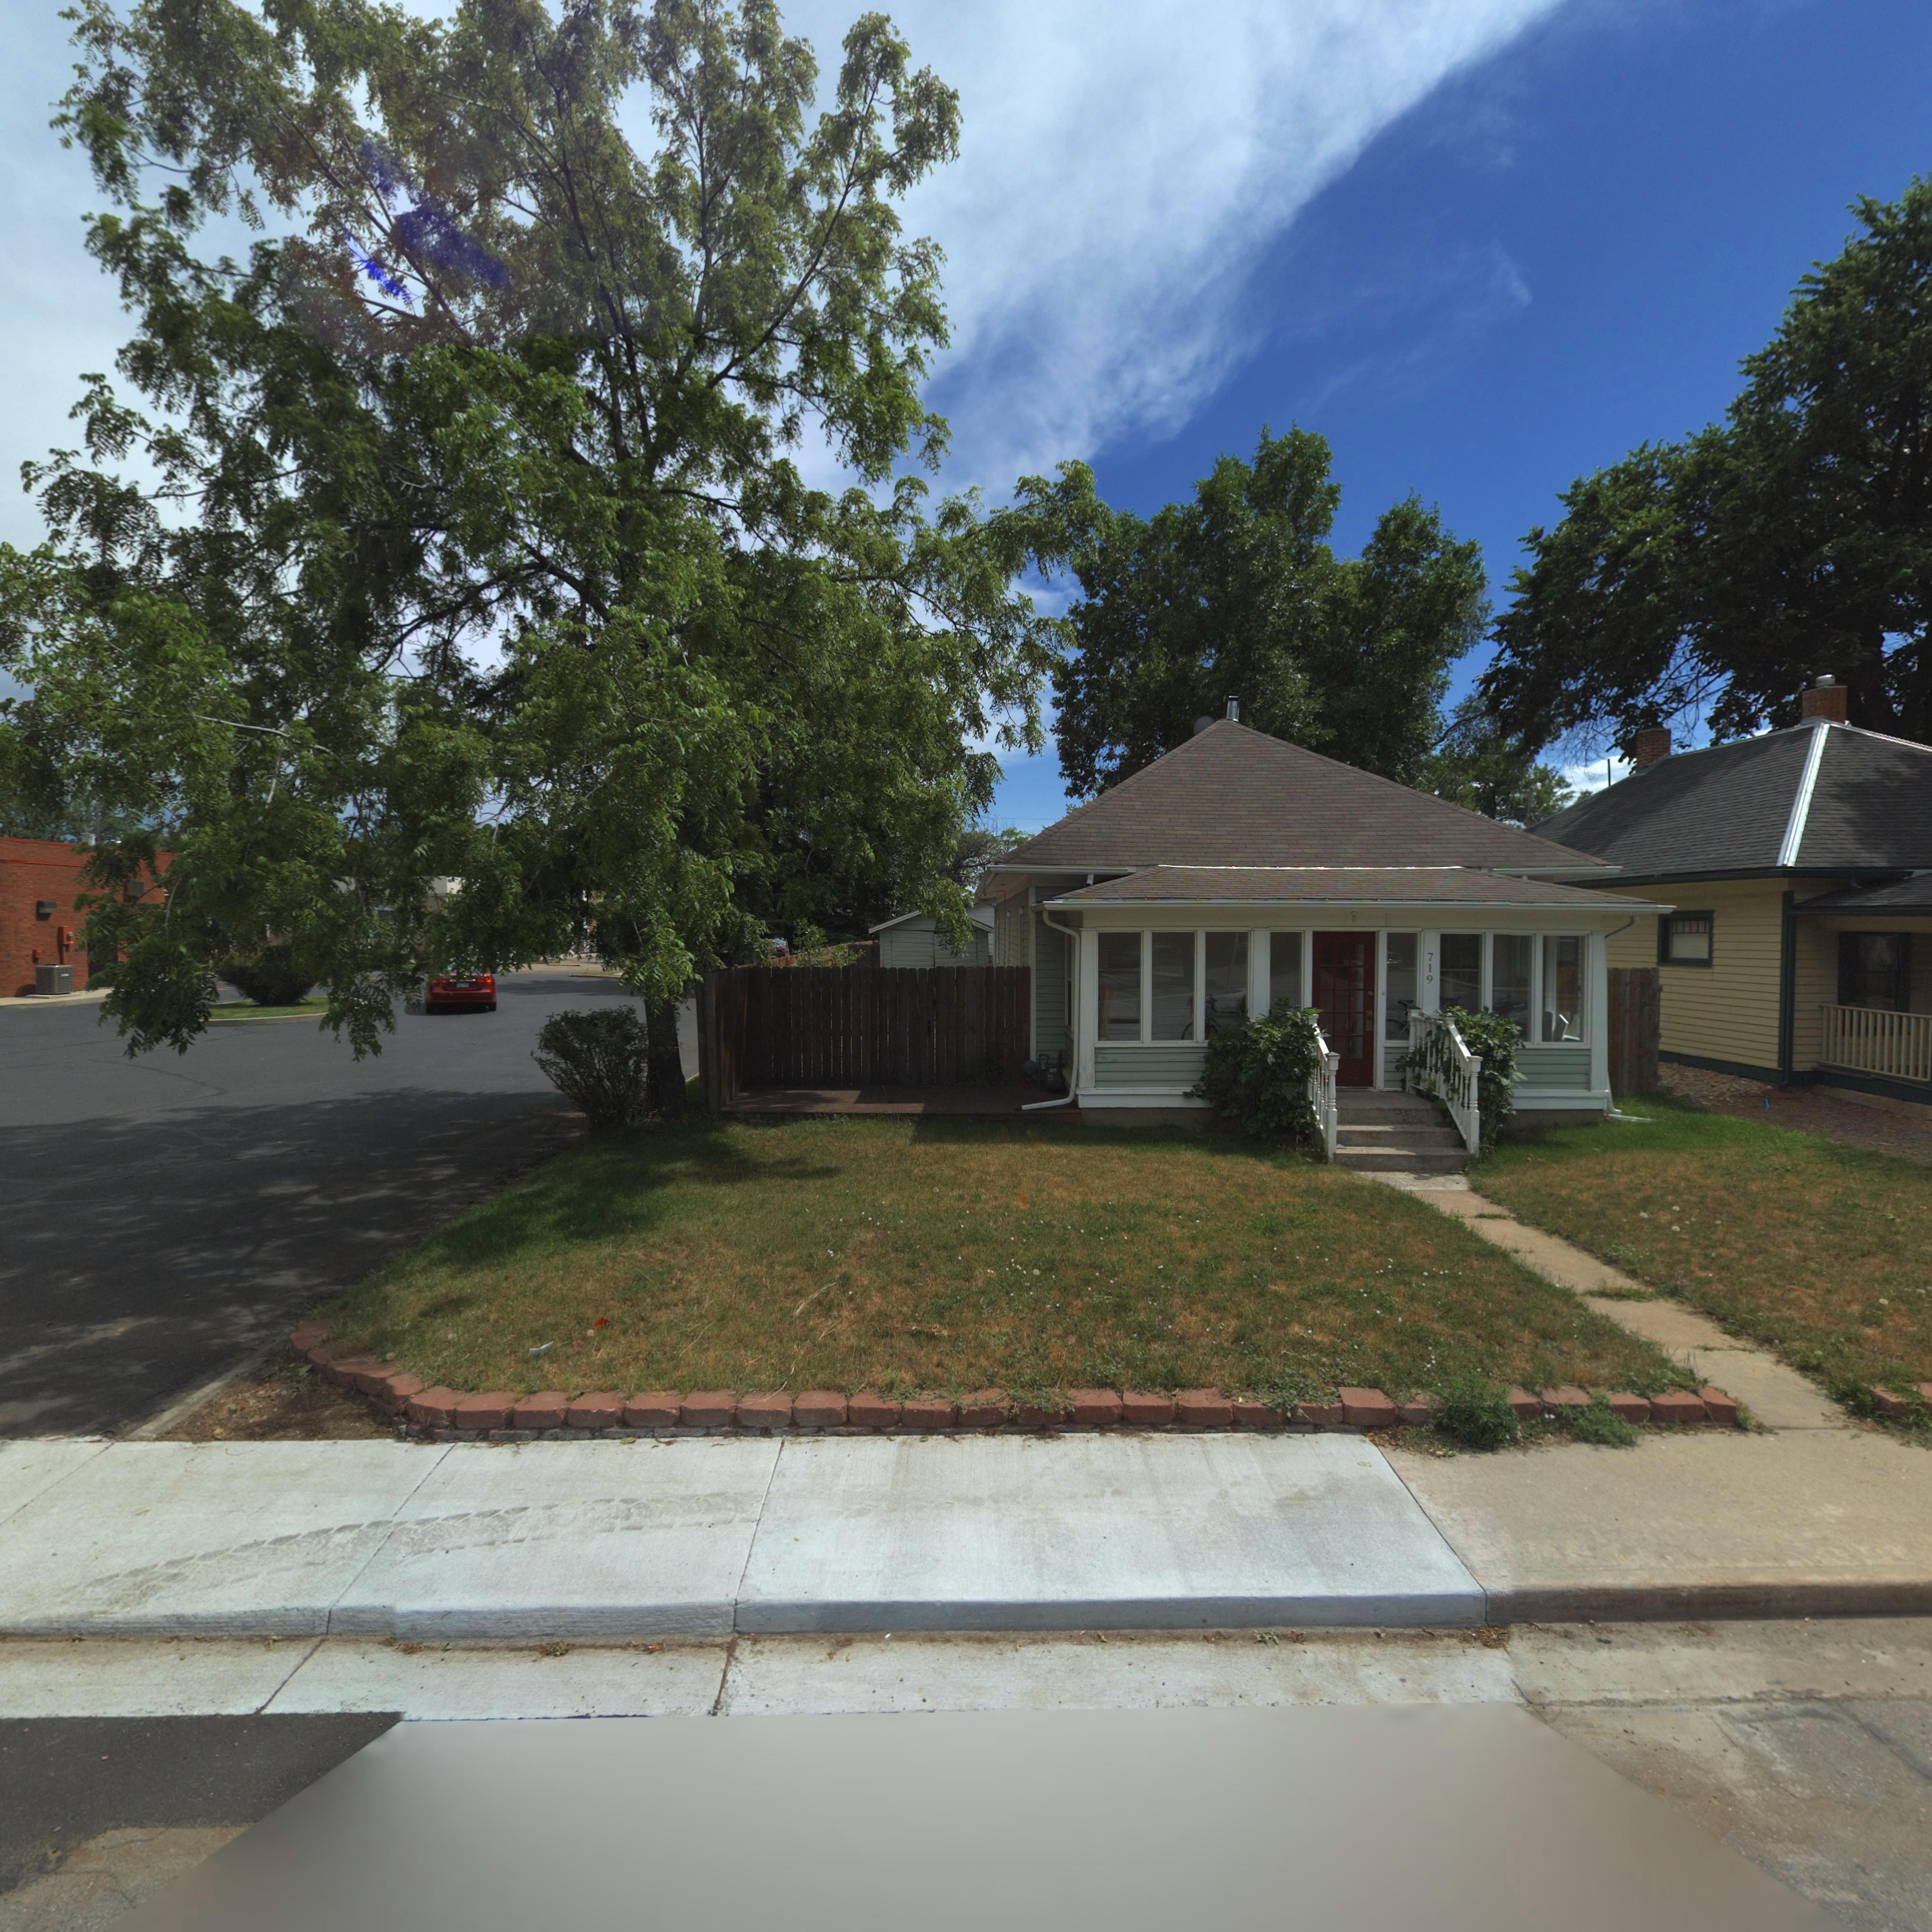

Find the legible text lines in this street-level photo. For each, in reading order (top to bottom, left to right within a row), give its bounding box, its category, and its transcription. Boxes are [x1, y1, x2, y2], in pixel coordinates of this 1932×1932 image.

[1427, 953, 1433, 984] StreetNumber: 719